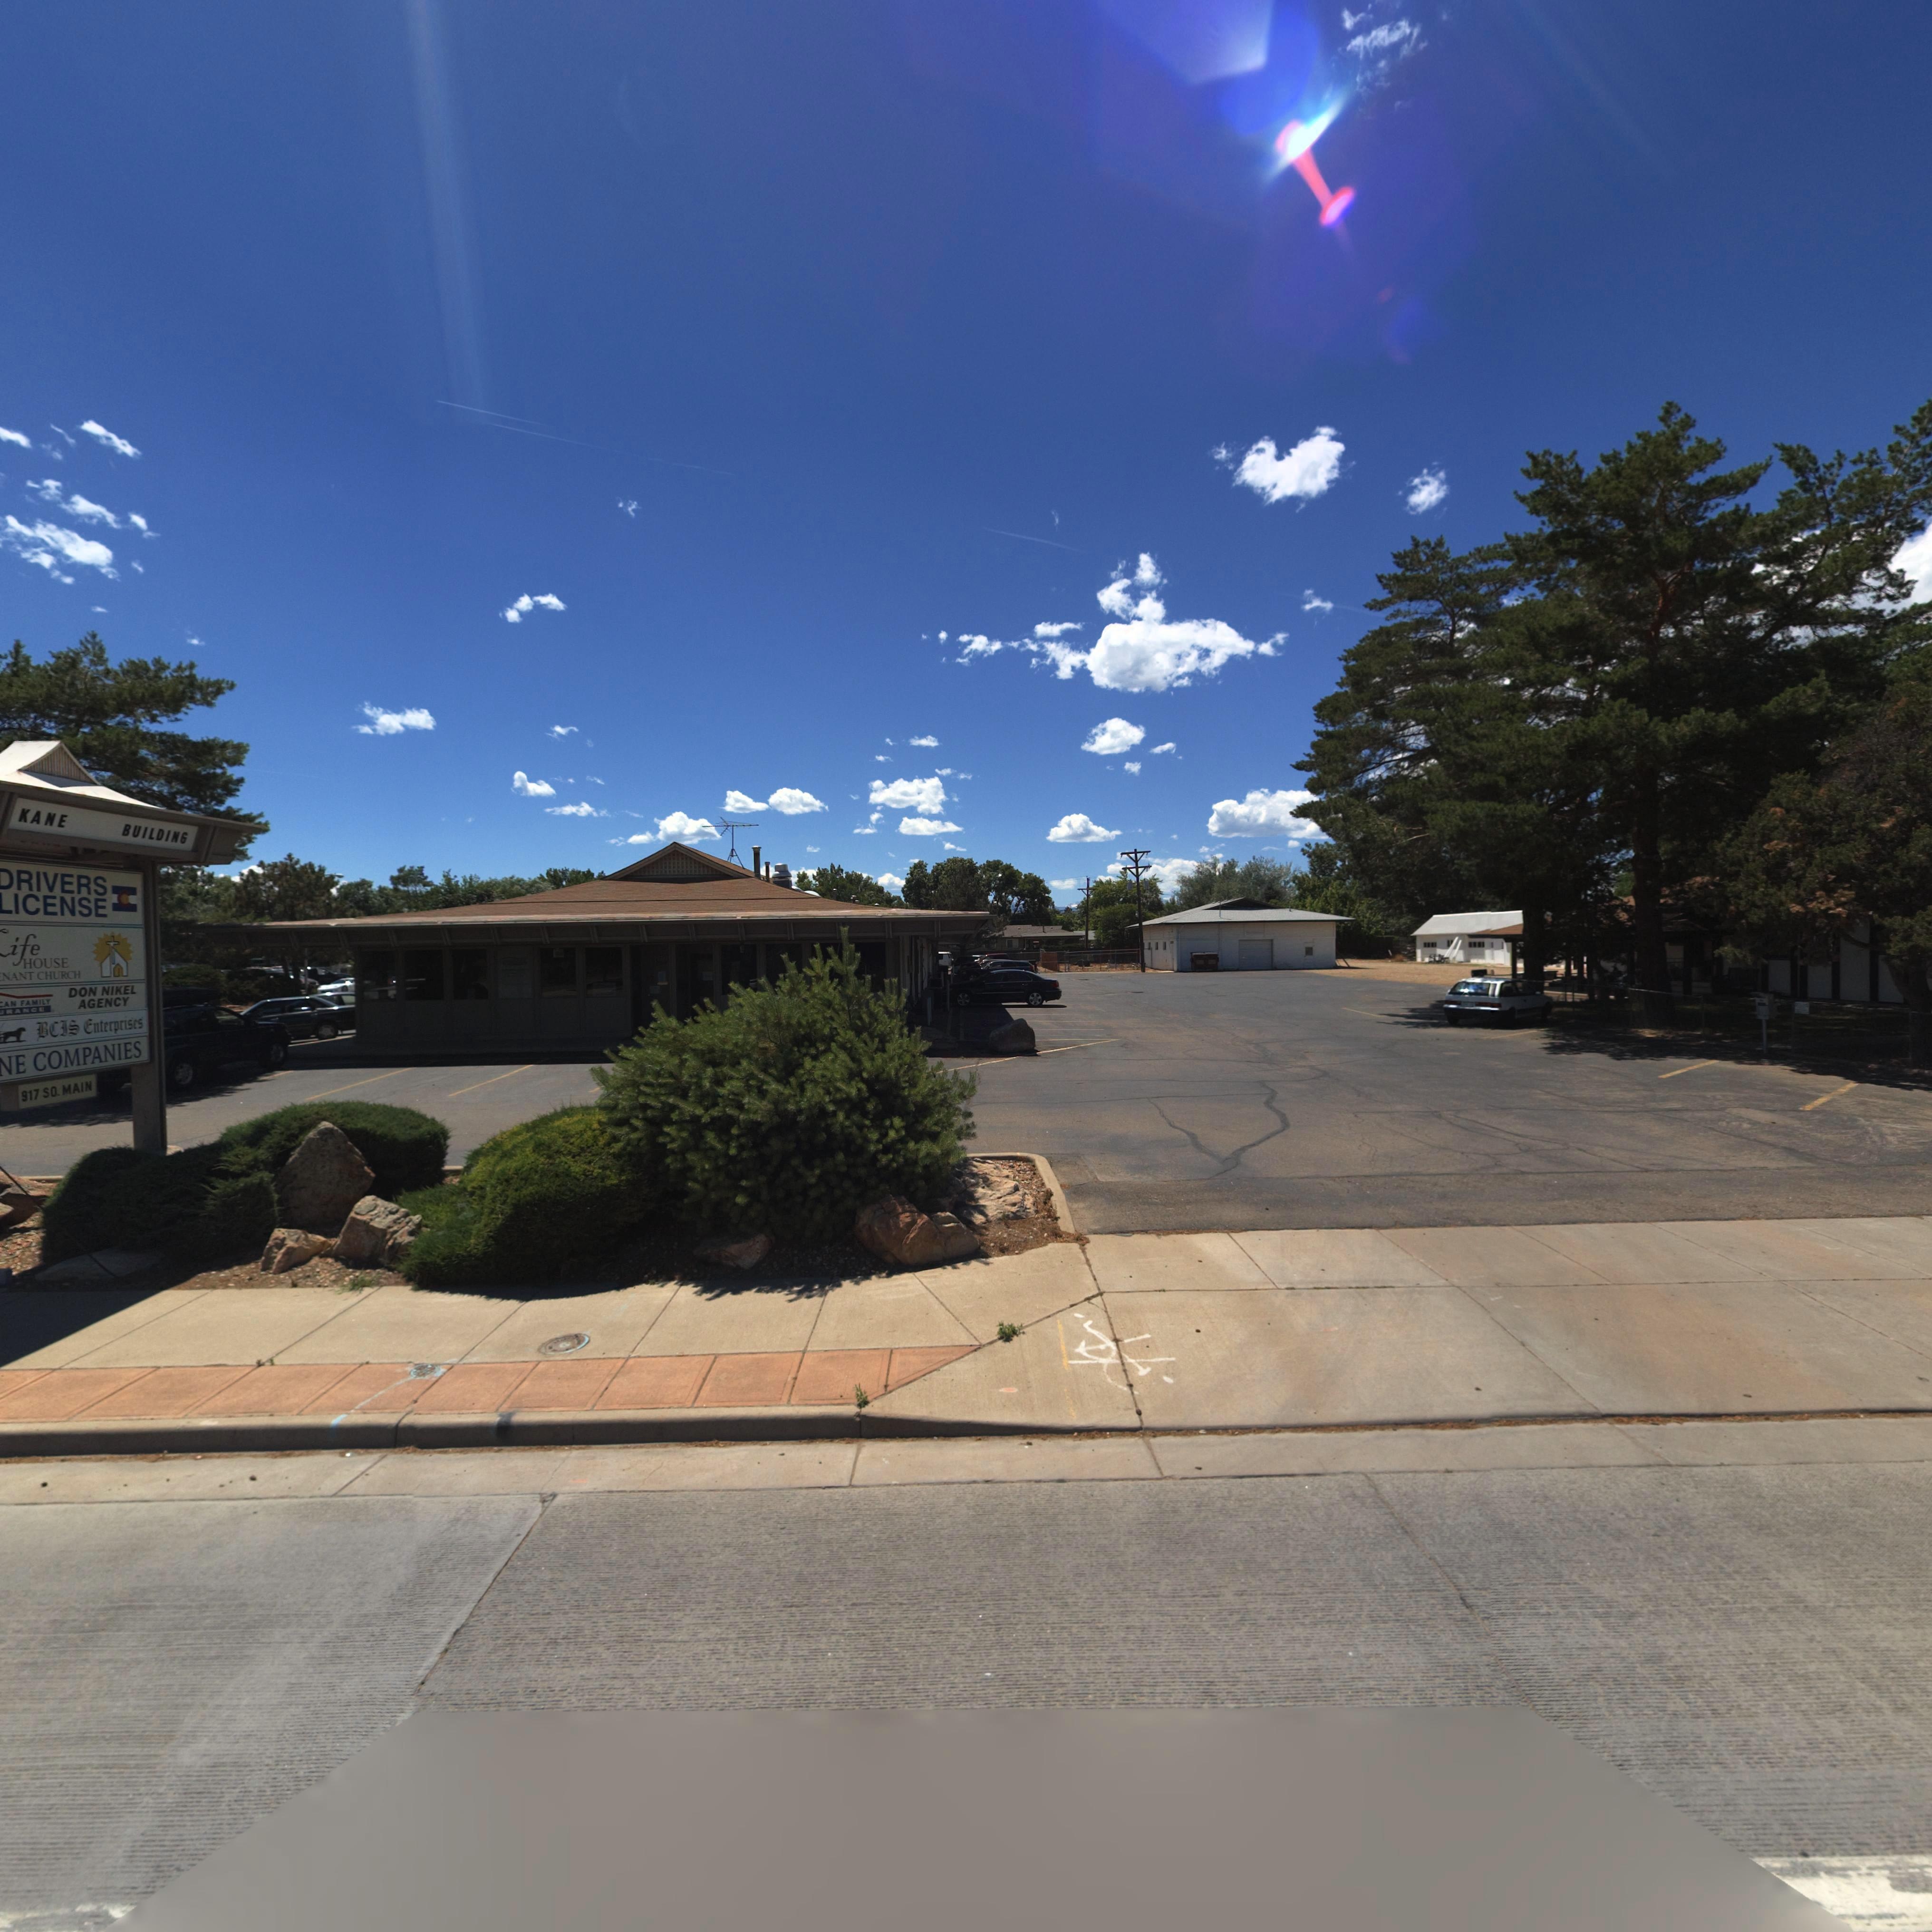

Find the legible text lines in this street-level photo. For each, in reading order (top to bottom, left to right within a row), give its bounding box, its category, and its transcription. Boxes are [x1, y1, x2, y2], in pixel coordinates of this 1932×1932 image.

[9, 932, 41, 967] BusinessName: ife
[23, 956, 69, 969] BusinessName: HOUSE
[1, 970, 81, 982] BusinessName: NANT CHURCH
[4, 998, 51, 1007] BusinessName: AN FAMILY
[6, 1007, 44, 1014] BusinessName: RANCE
[36, 1015, 144, 1039] BusinessName: BCIS Enterprises
[14, 1039, 143, 1075] BusinessName: E COMPANIES
[21, 1088, 40, 1102] StreetNumber: 917
[42, 1080, 93, 1099] StreetName: SO. MAIN